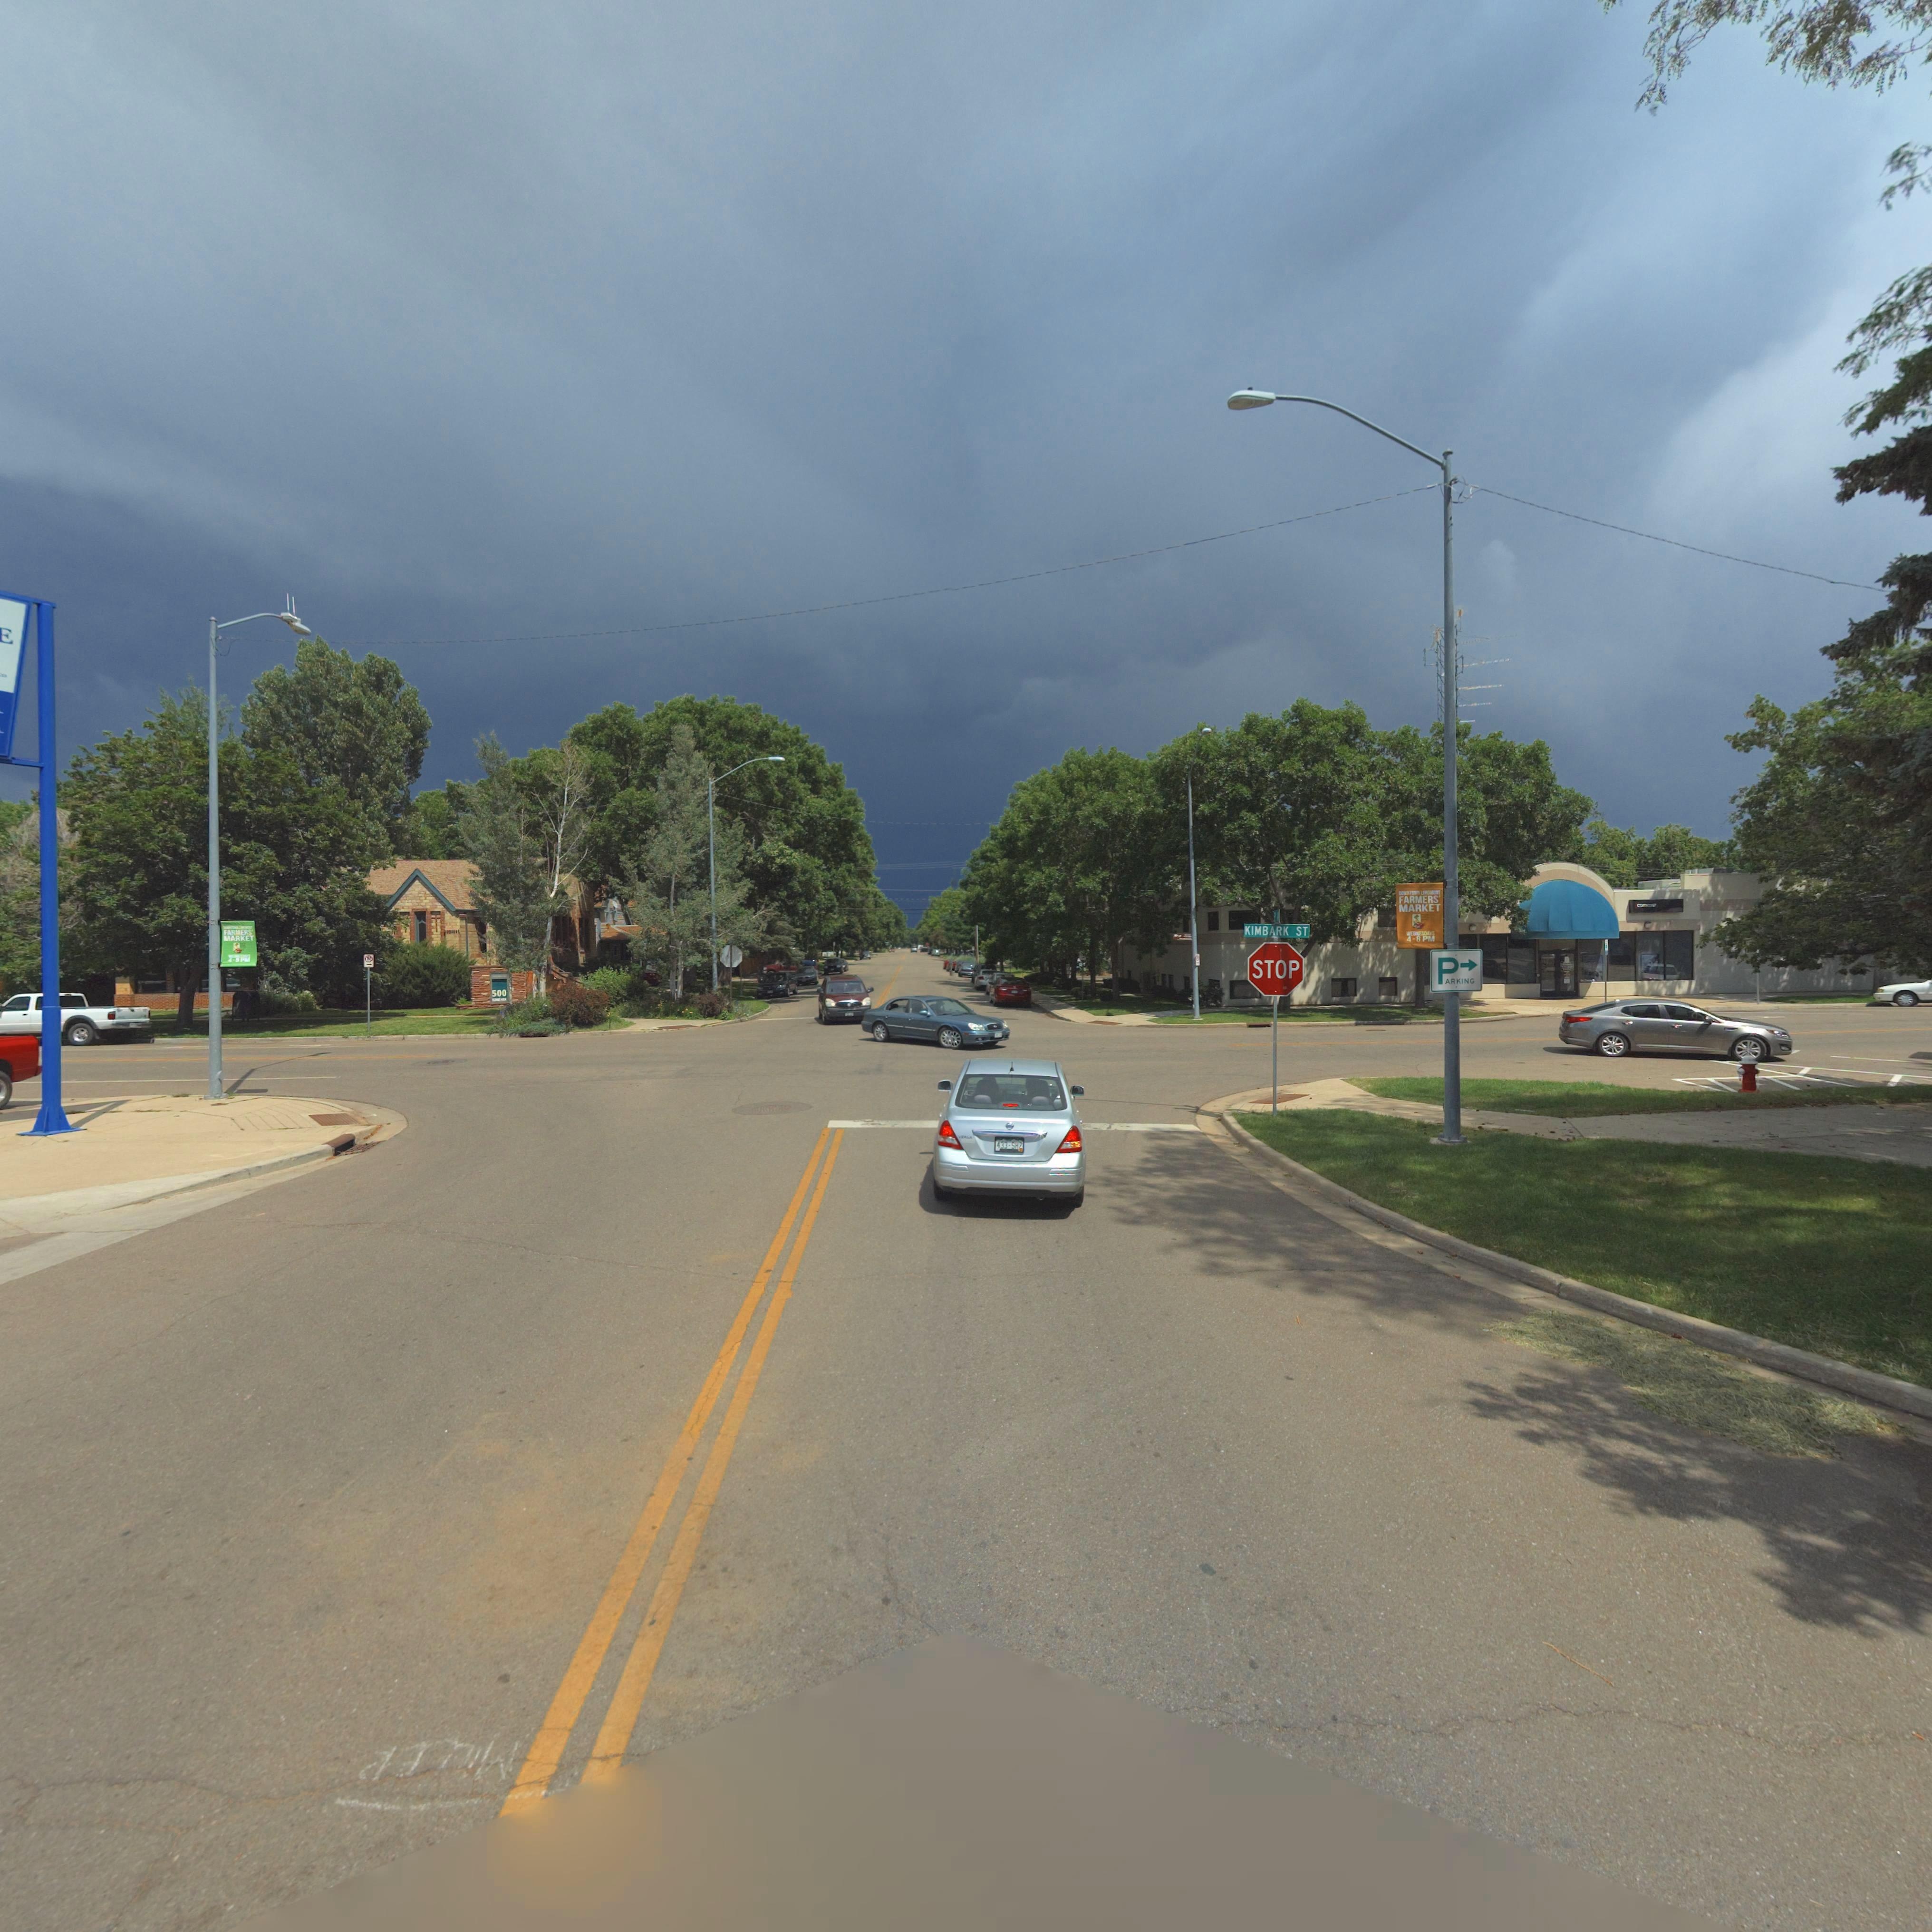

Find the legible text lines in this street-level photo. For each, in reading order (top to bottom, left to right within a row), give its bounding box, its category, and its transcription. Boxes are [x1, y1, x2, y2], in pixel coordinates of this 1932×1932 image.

[0, 627, 13, 646] BusinessName: E
[1637, 903, 1657, 907] BusinessName: comcast
[1245, 925, 1308, 936] StreetName: KIMBARK ST
[492, 989, 506, 997] StreetNumber: 500
[492, 997, 506, 1001] BusinessName: K****RK